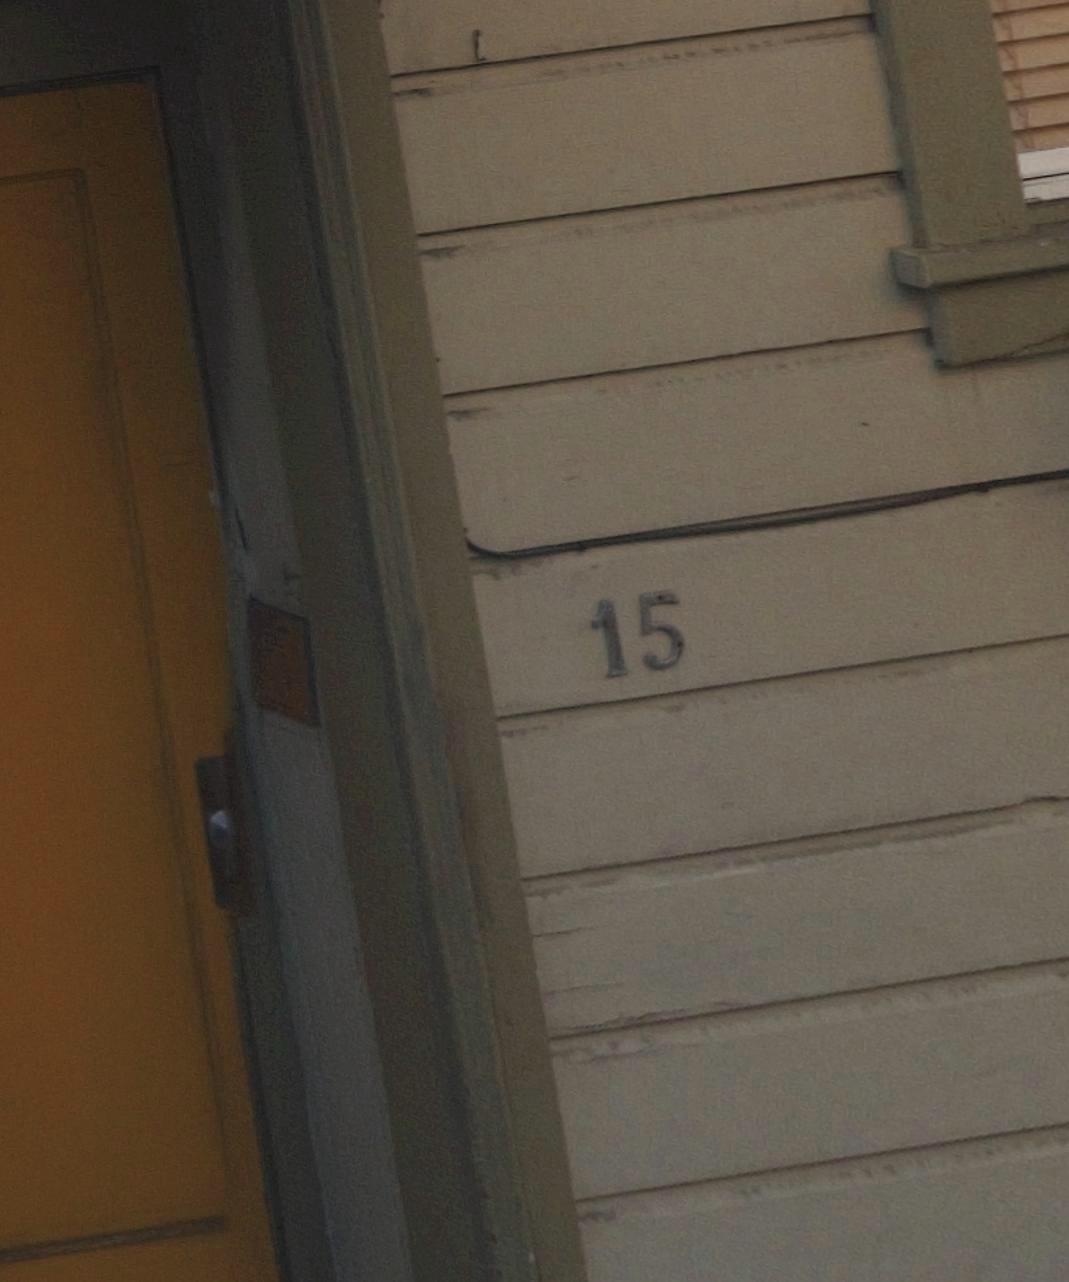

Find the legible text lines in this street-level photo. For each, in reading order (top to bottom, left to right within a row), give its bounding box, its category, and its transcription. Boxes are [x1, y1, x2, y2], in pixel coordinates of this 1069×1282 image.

[579, 581, 698, 693] StreetNumber: 15